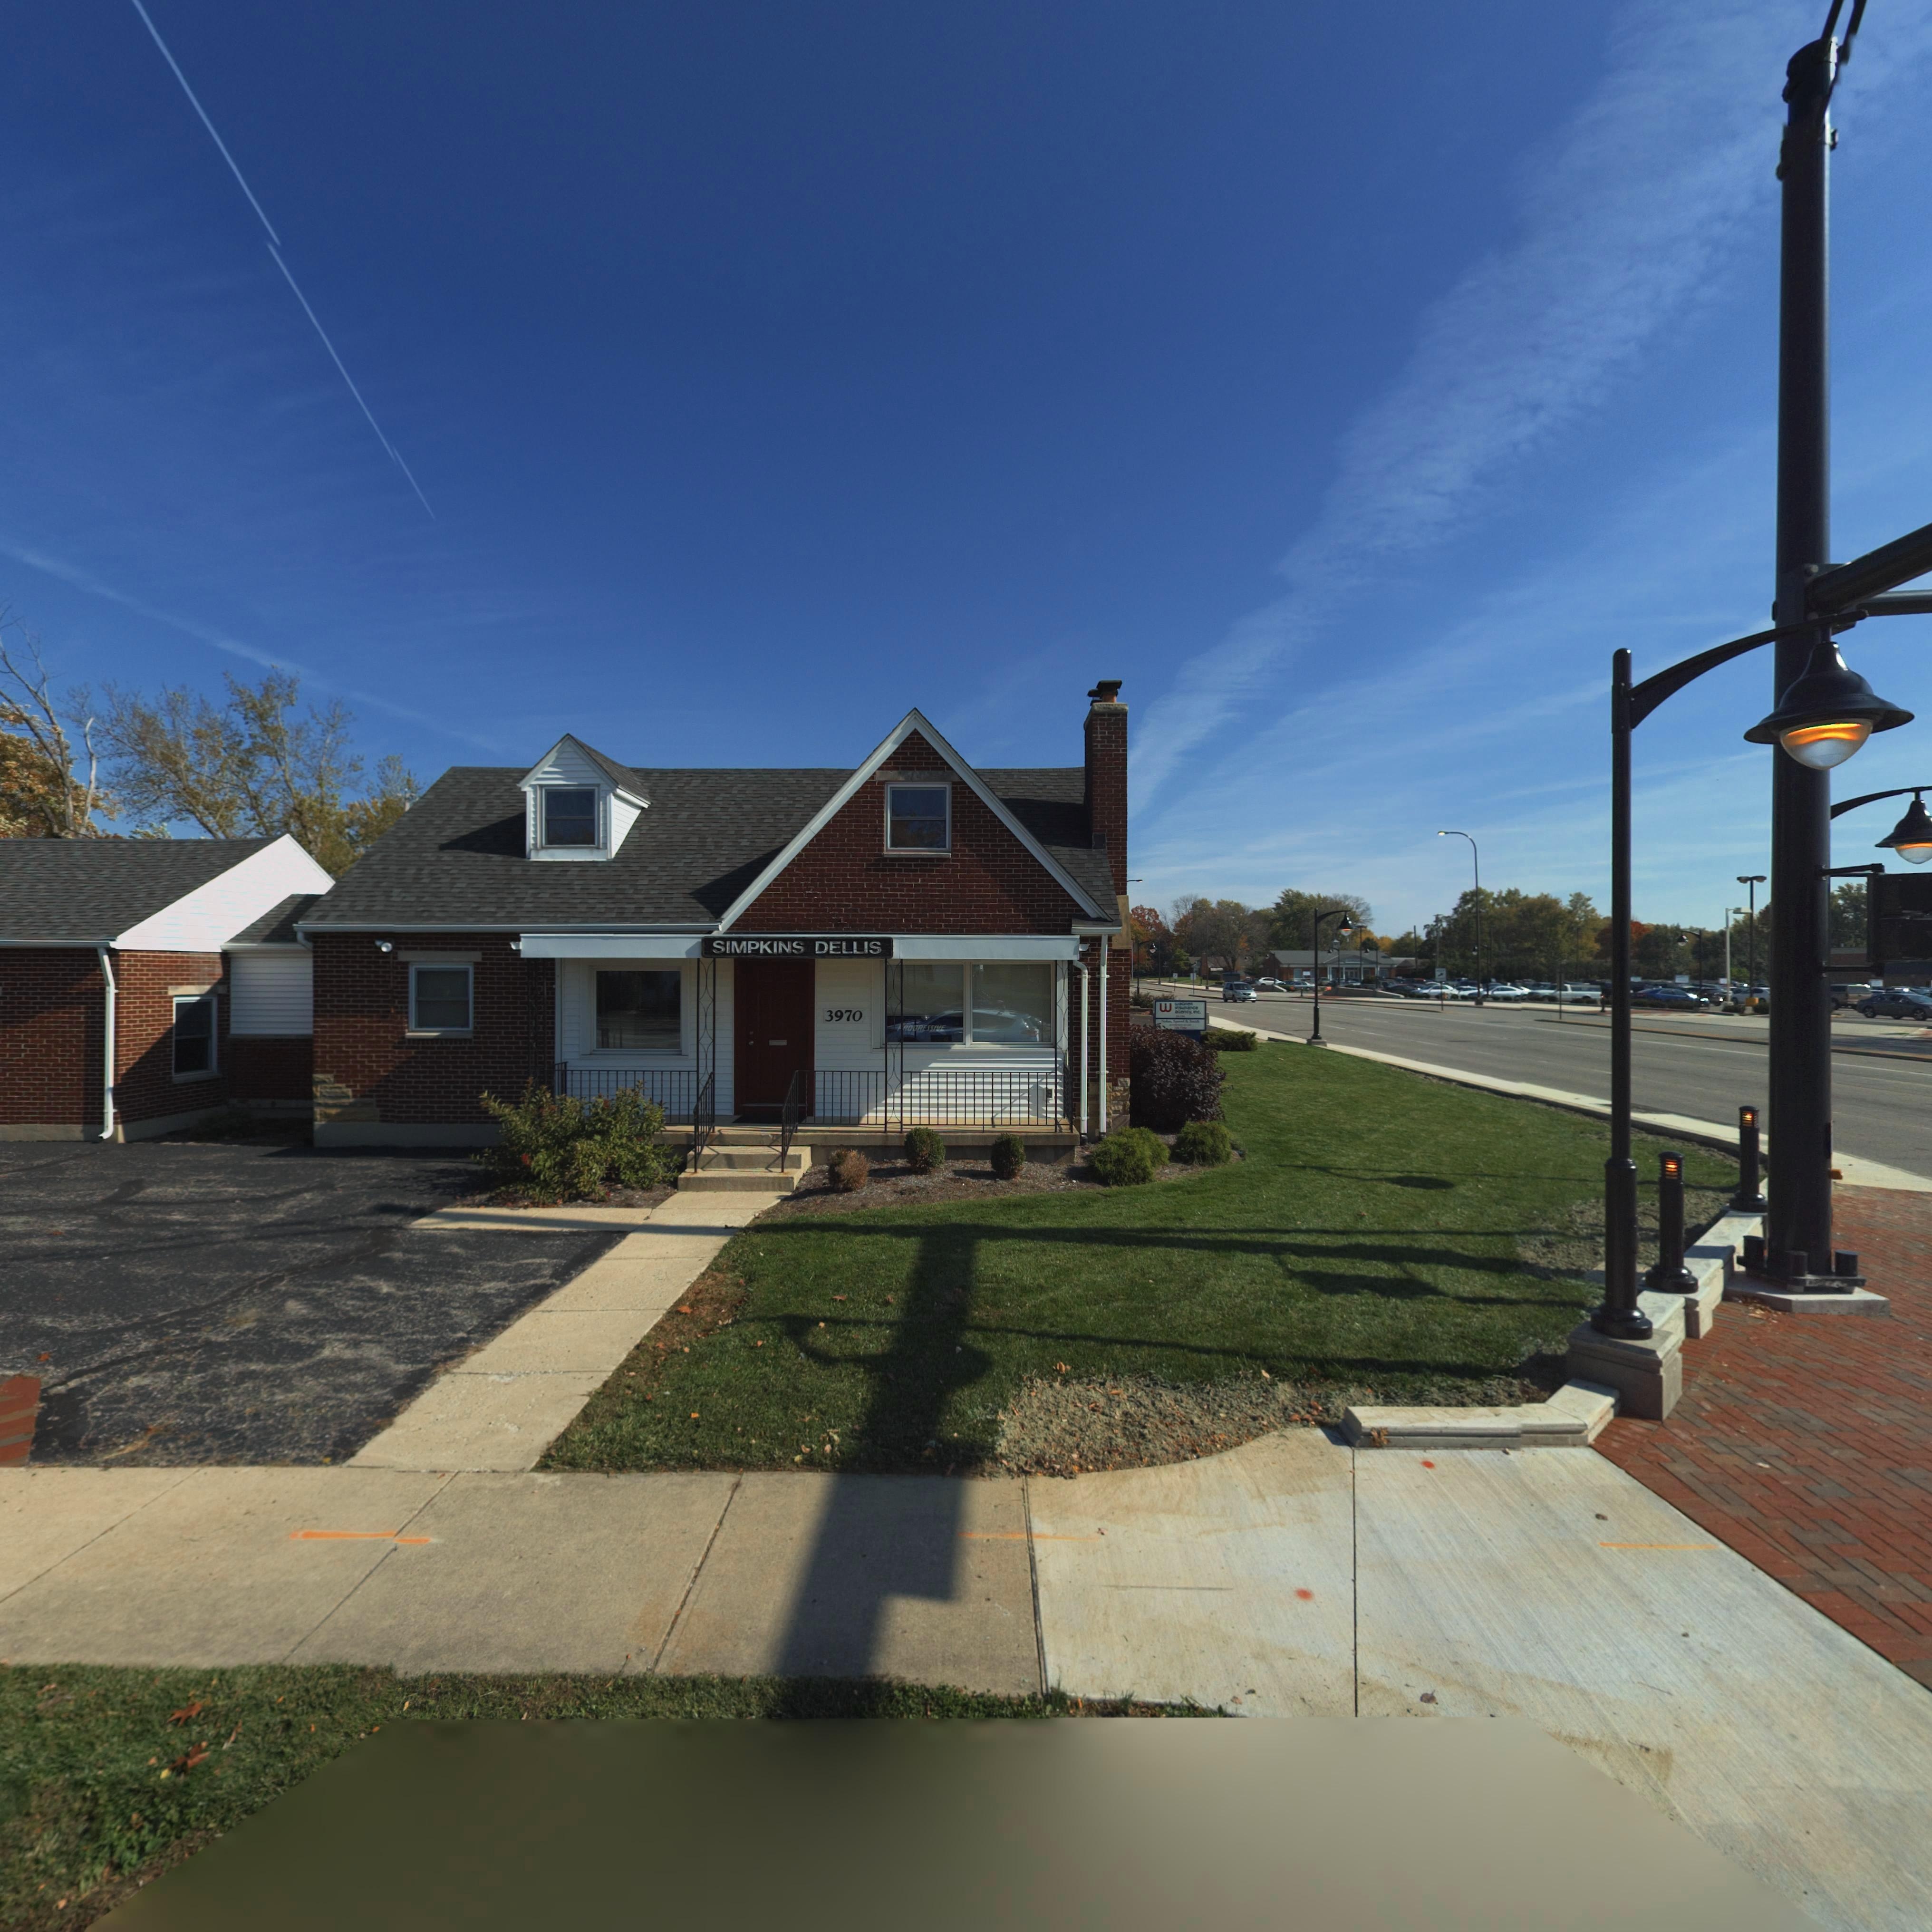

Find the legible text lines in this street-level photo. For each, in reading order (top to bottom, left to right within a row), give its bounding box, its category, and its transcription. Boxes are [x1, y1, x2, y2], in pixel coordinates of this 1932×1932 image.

[712, 940, 882, 954] None: SIMPKINS DELLIS
[1159, 1003, 1172, 1013] None: w
[1174, 1002, 1193, 1006] BusinessName: waGneR
[1174, 1006, 1198, 1010] BusinessName: in**Rance
[825, 1009, 863, 1022] StreetNumber: 3970
[1174, 1010, 1202, 1015] BusinessName: aGency, inc.
[897, 1024, 947, 1032] None: *RO*RESSIVE